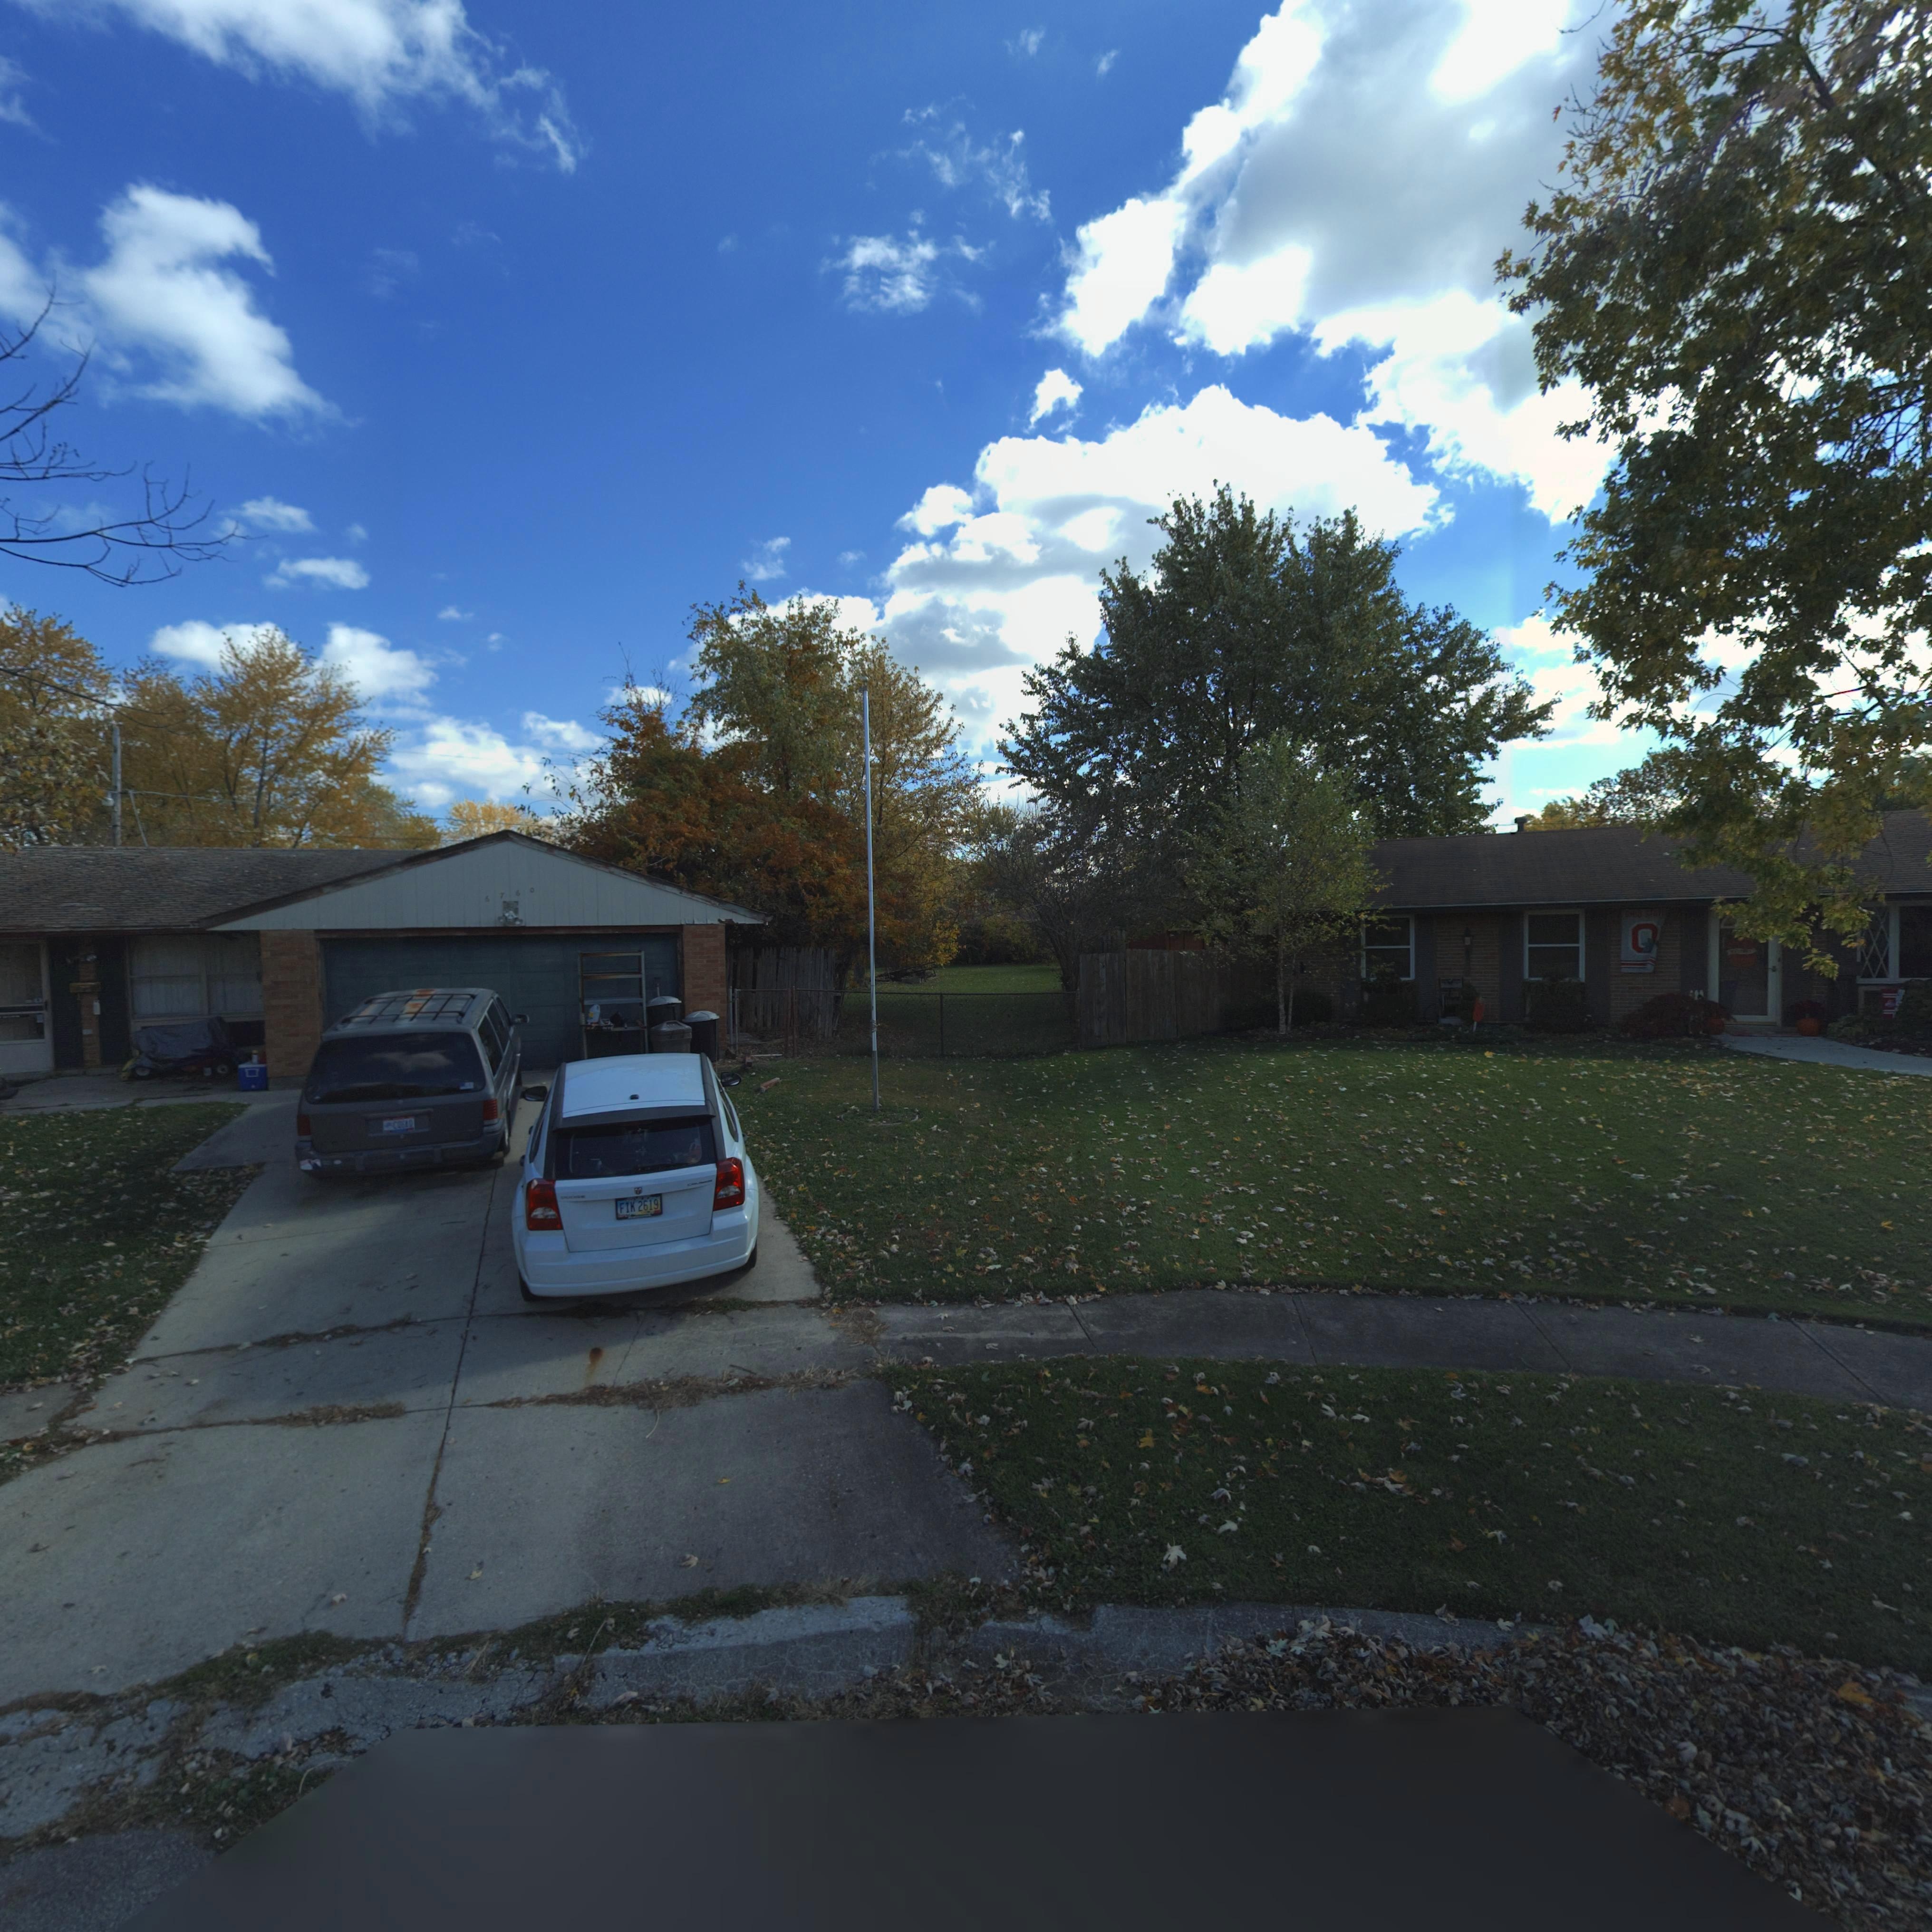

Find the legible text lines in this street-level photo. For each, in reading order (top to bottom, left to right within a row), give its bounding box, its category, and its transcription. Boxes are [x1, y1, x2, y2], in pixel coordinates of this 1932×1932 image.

[483, 886, 535, 903] StreetNumber: 6760